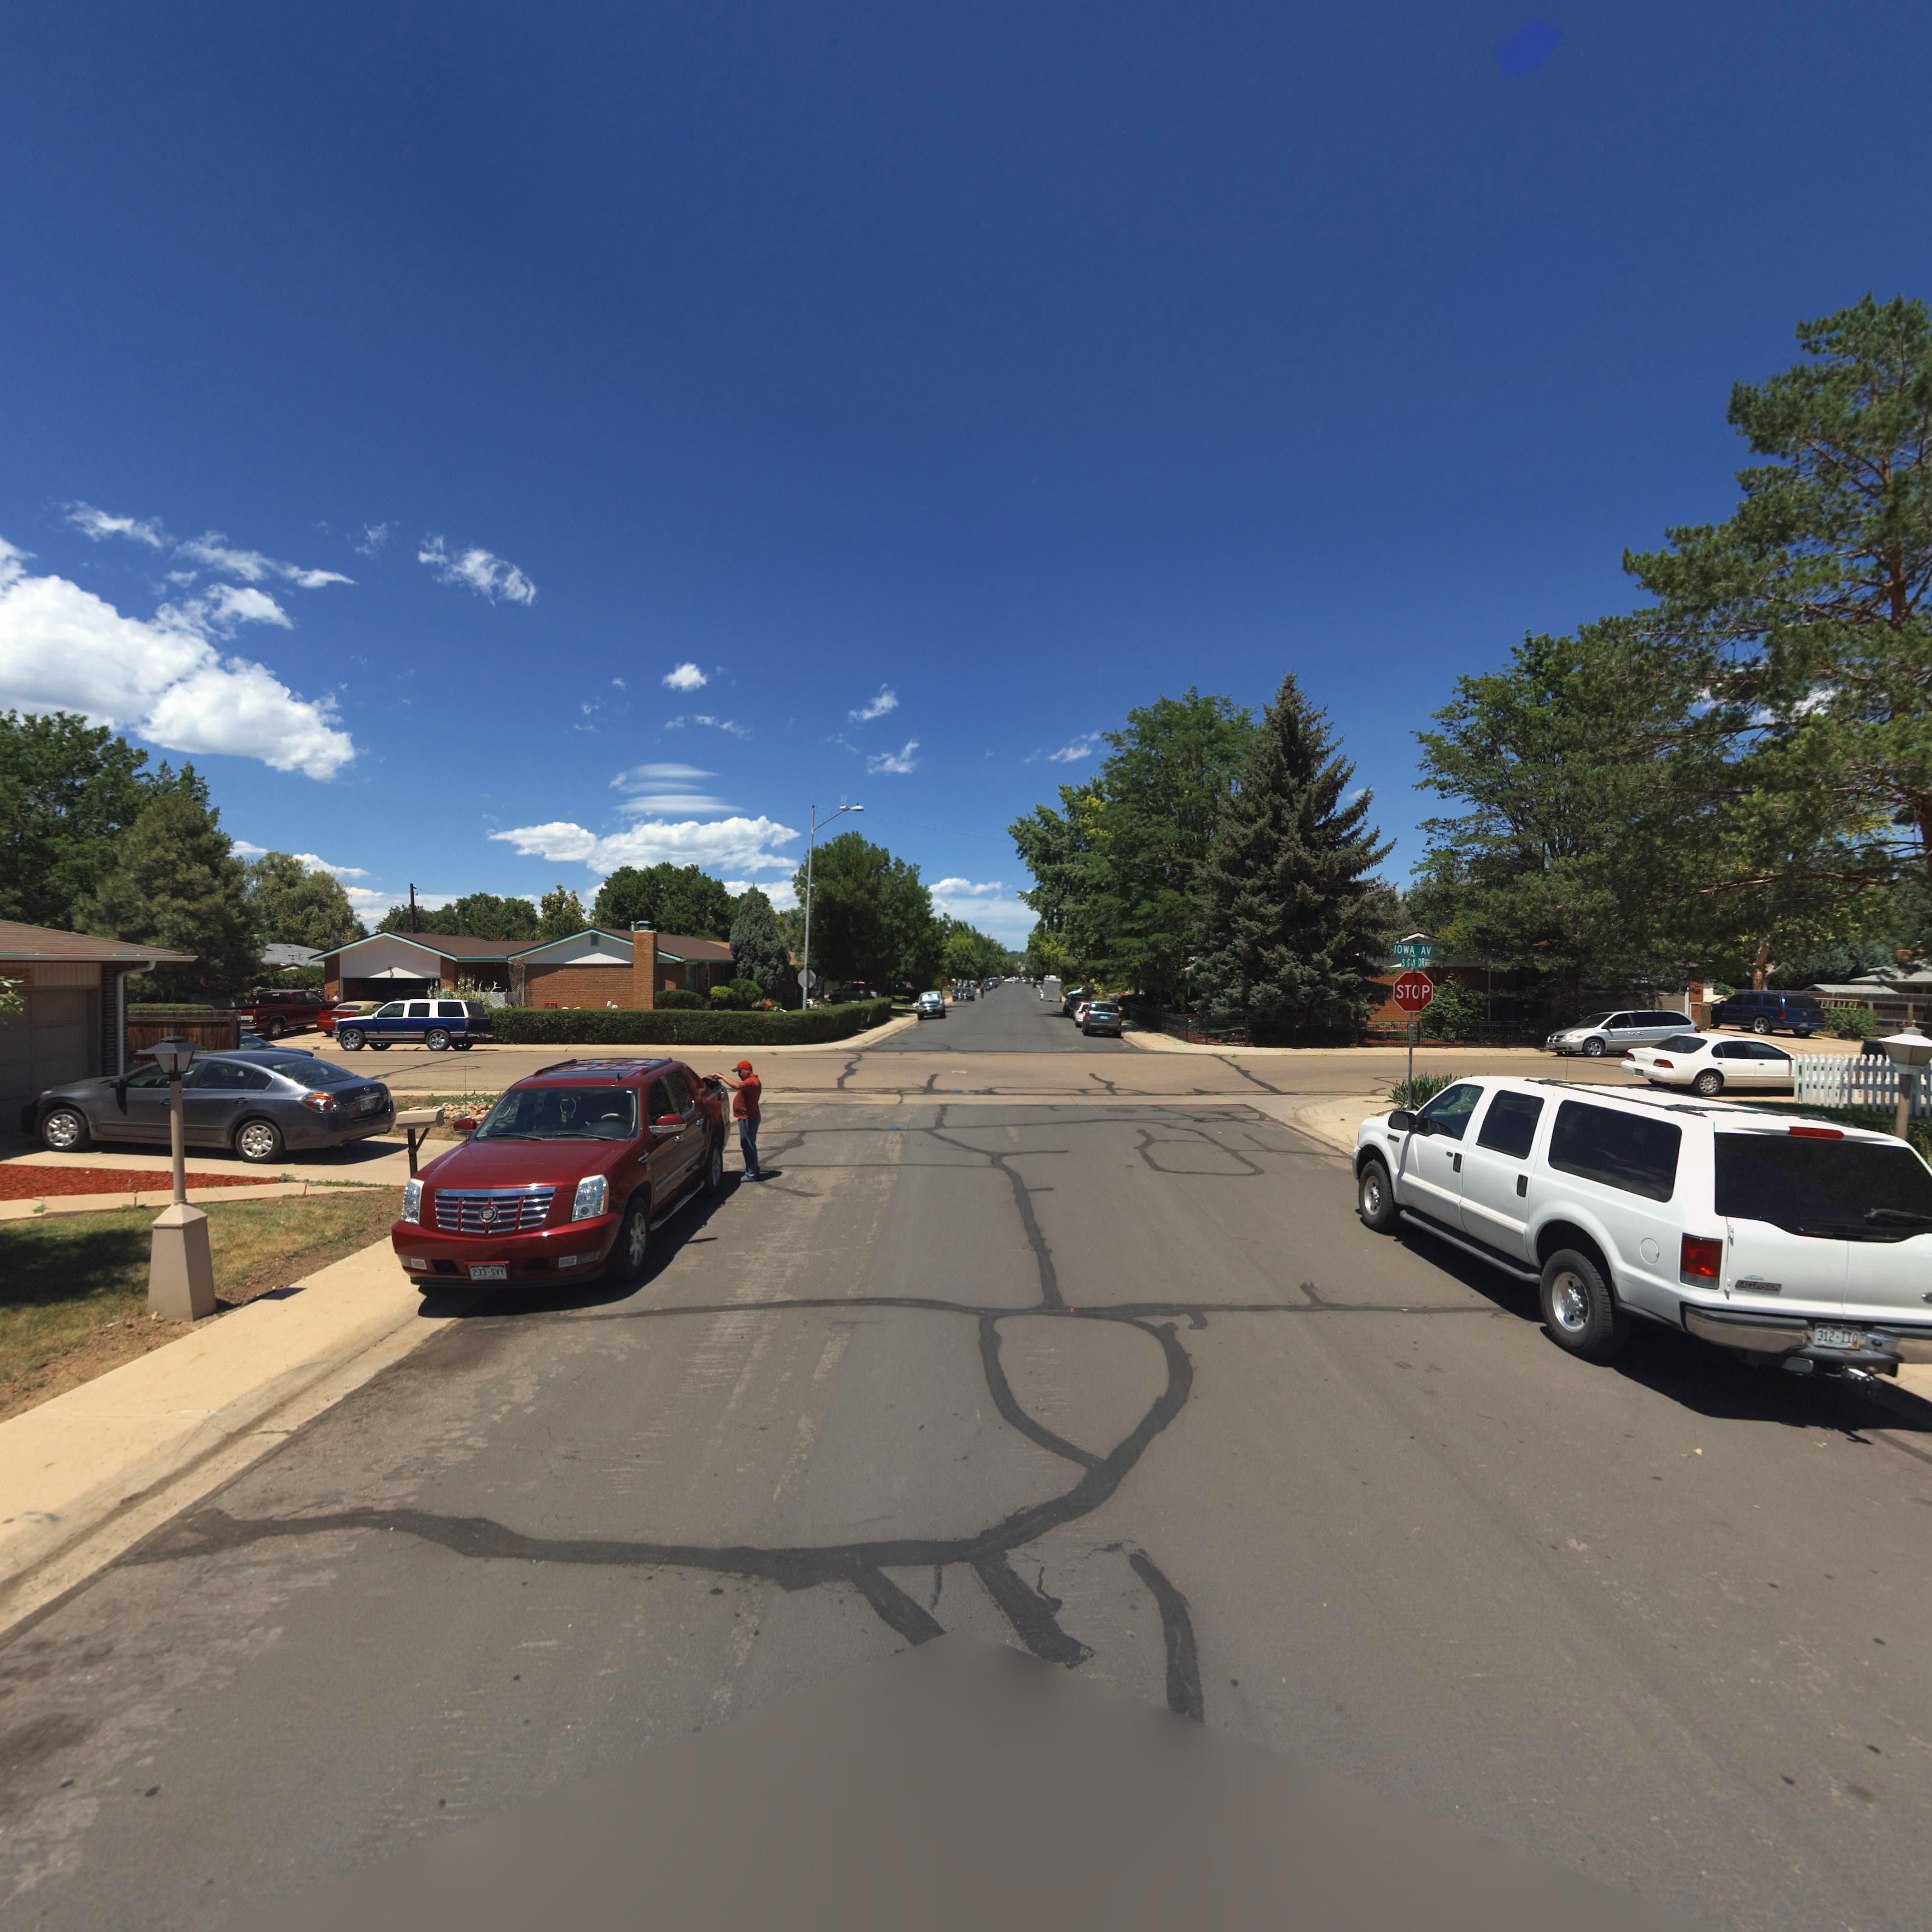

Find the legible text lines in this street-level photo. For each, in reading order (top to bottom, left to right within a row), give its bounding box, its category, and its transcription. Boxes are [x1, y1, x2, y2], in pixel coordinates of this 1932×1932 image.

[1394, 944, 1432, 955] StreetName: IOWA AV
[1401, 957, 1425, 967] StreetName: S GAY DR